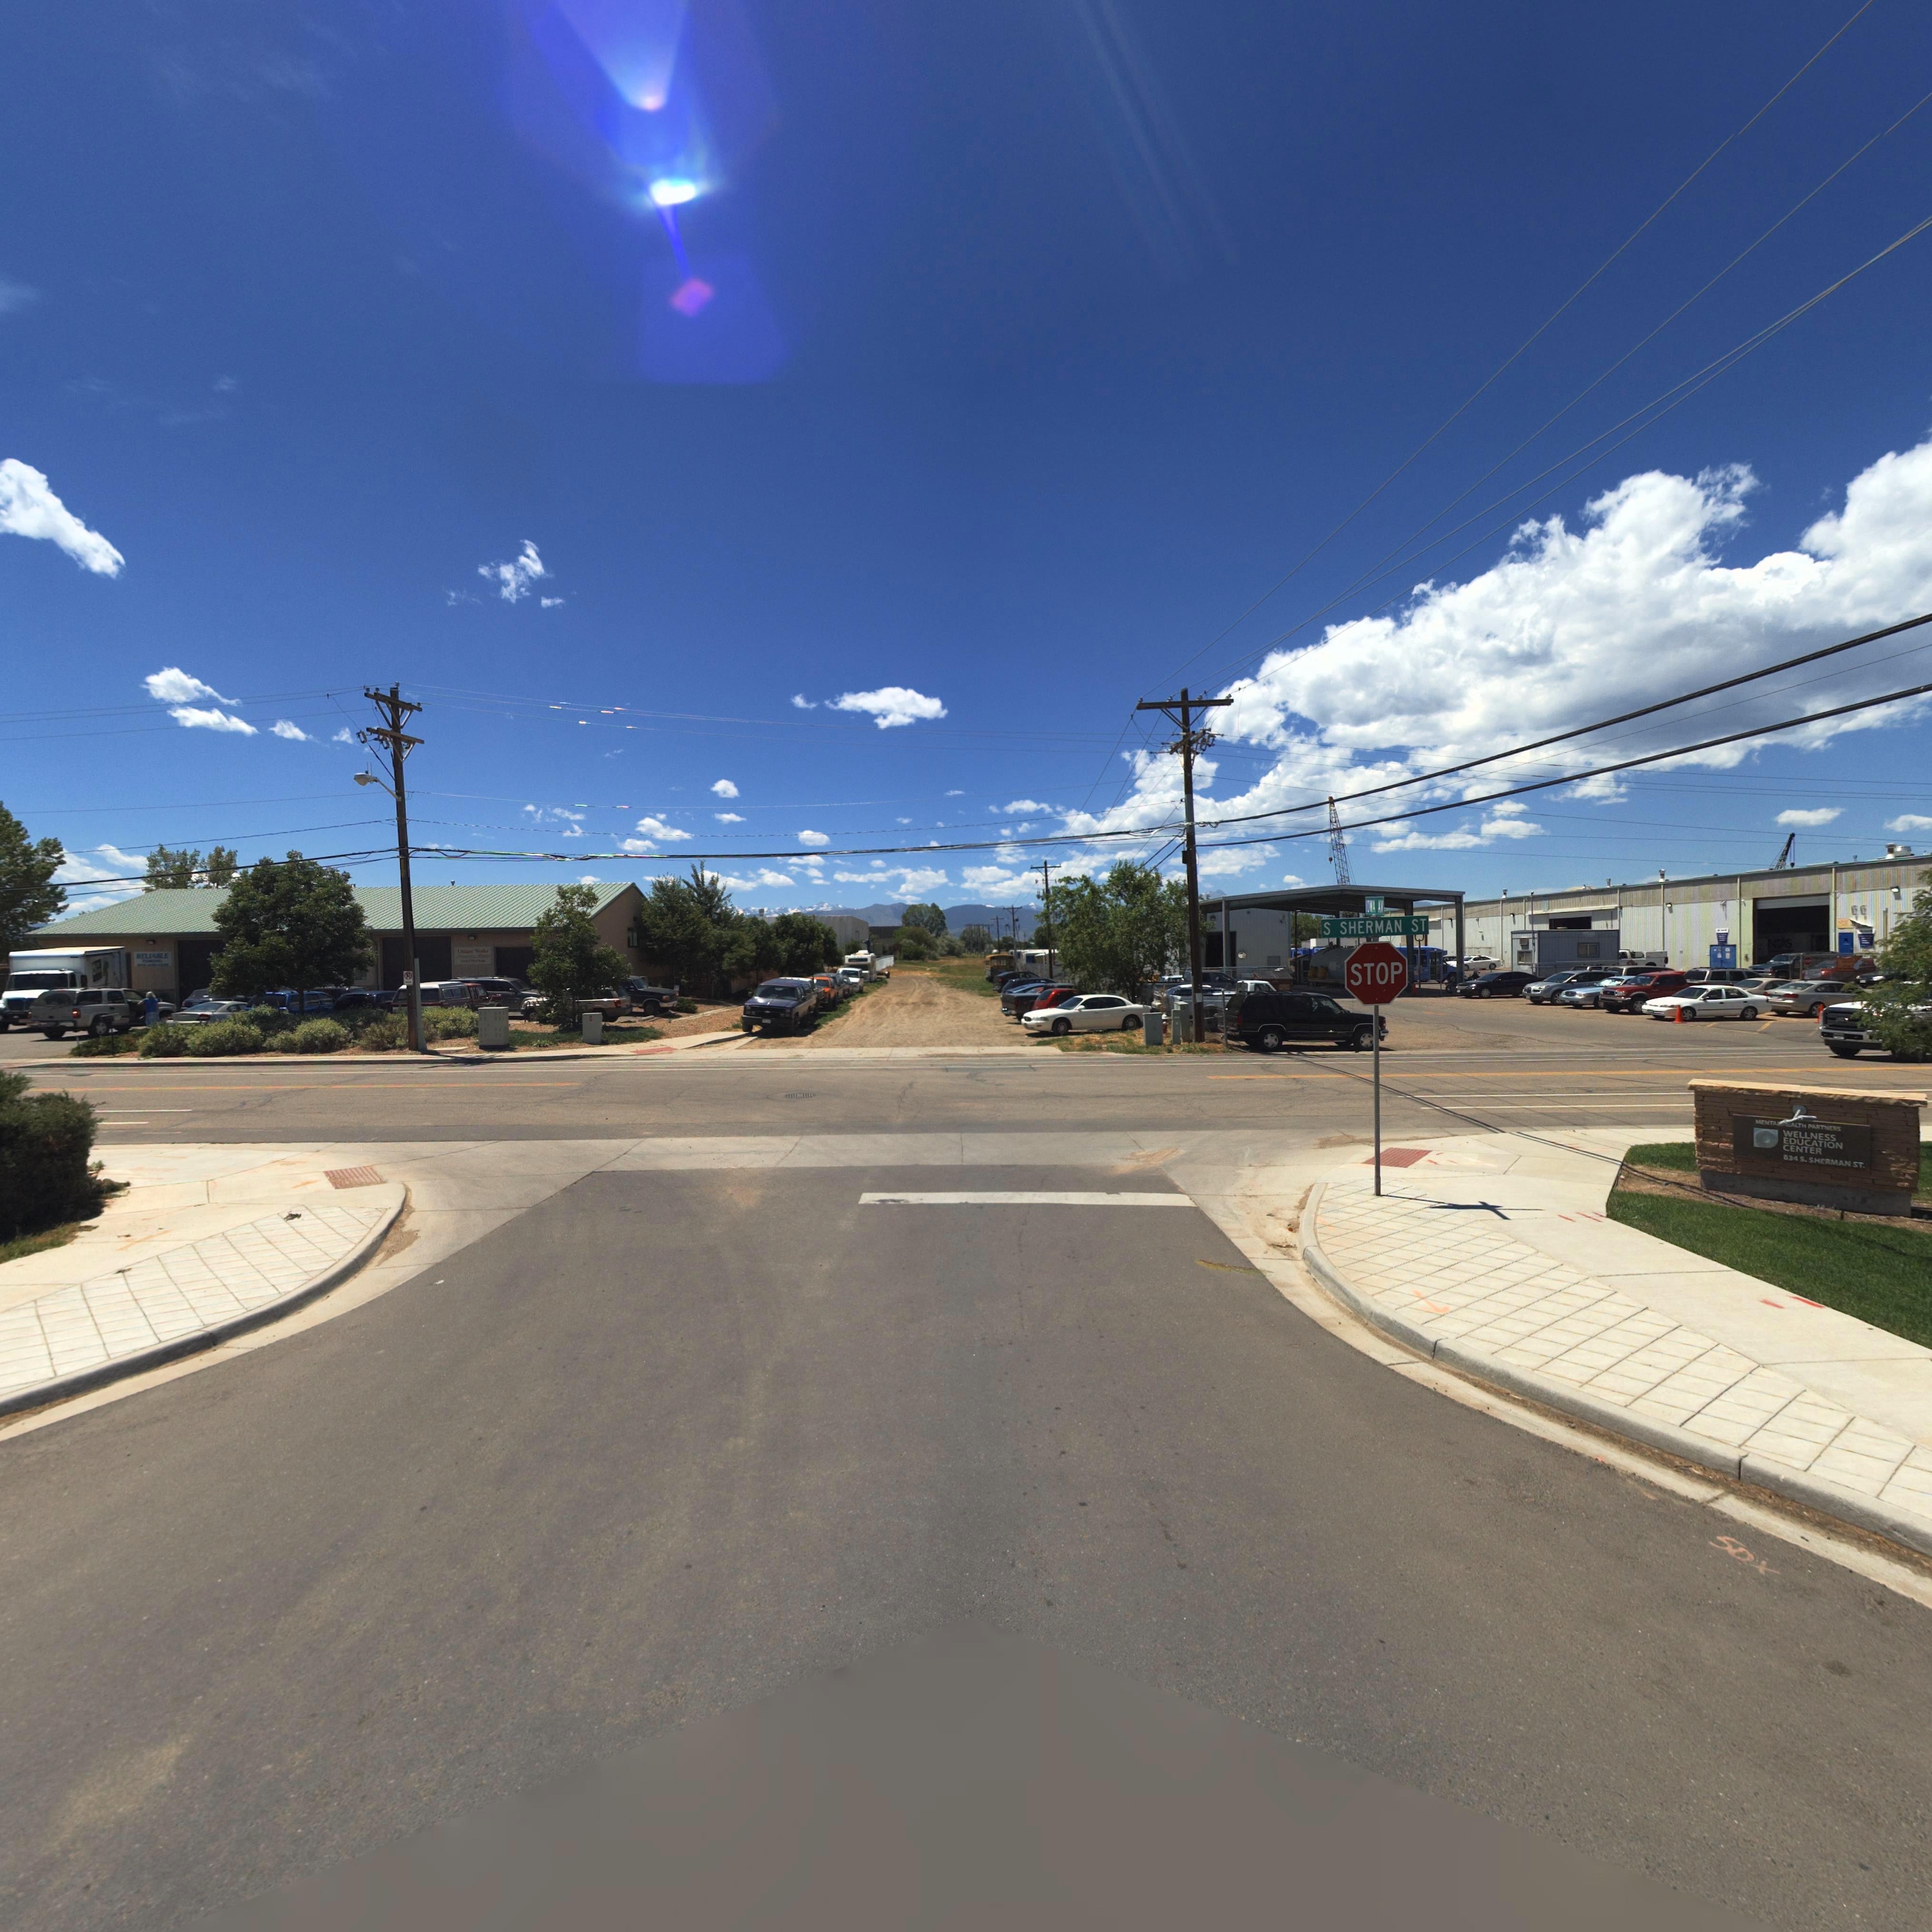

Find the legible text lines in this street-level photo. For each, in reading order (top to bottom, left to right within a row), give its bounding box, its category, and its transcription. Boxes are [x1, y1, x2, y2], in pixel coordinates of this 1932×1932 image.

[1323, 918, 1426, 935] BusinessName: S SHERMAN ST
[1782, 1154, 1797, 1161] StreetNumber: 634
[1799, 1156, 1863, 1168] StreetName: S. SHERMAN ST.